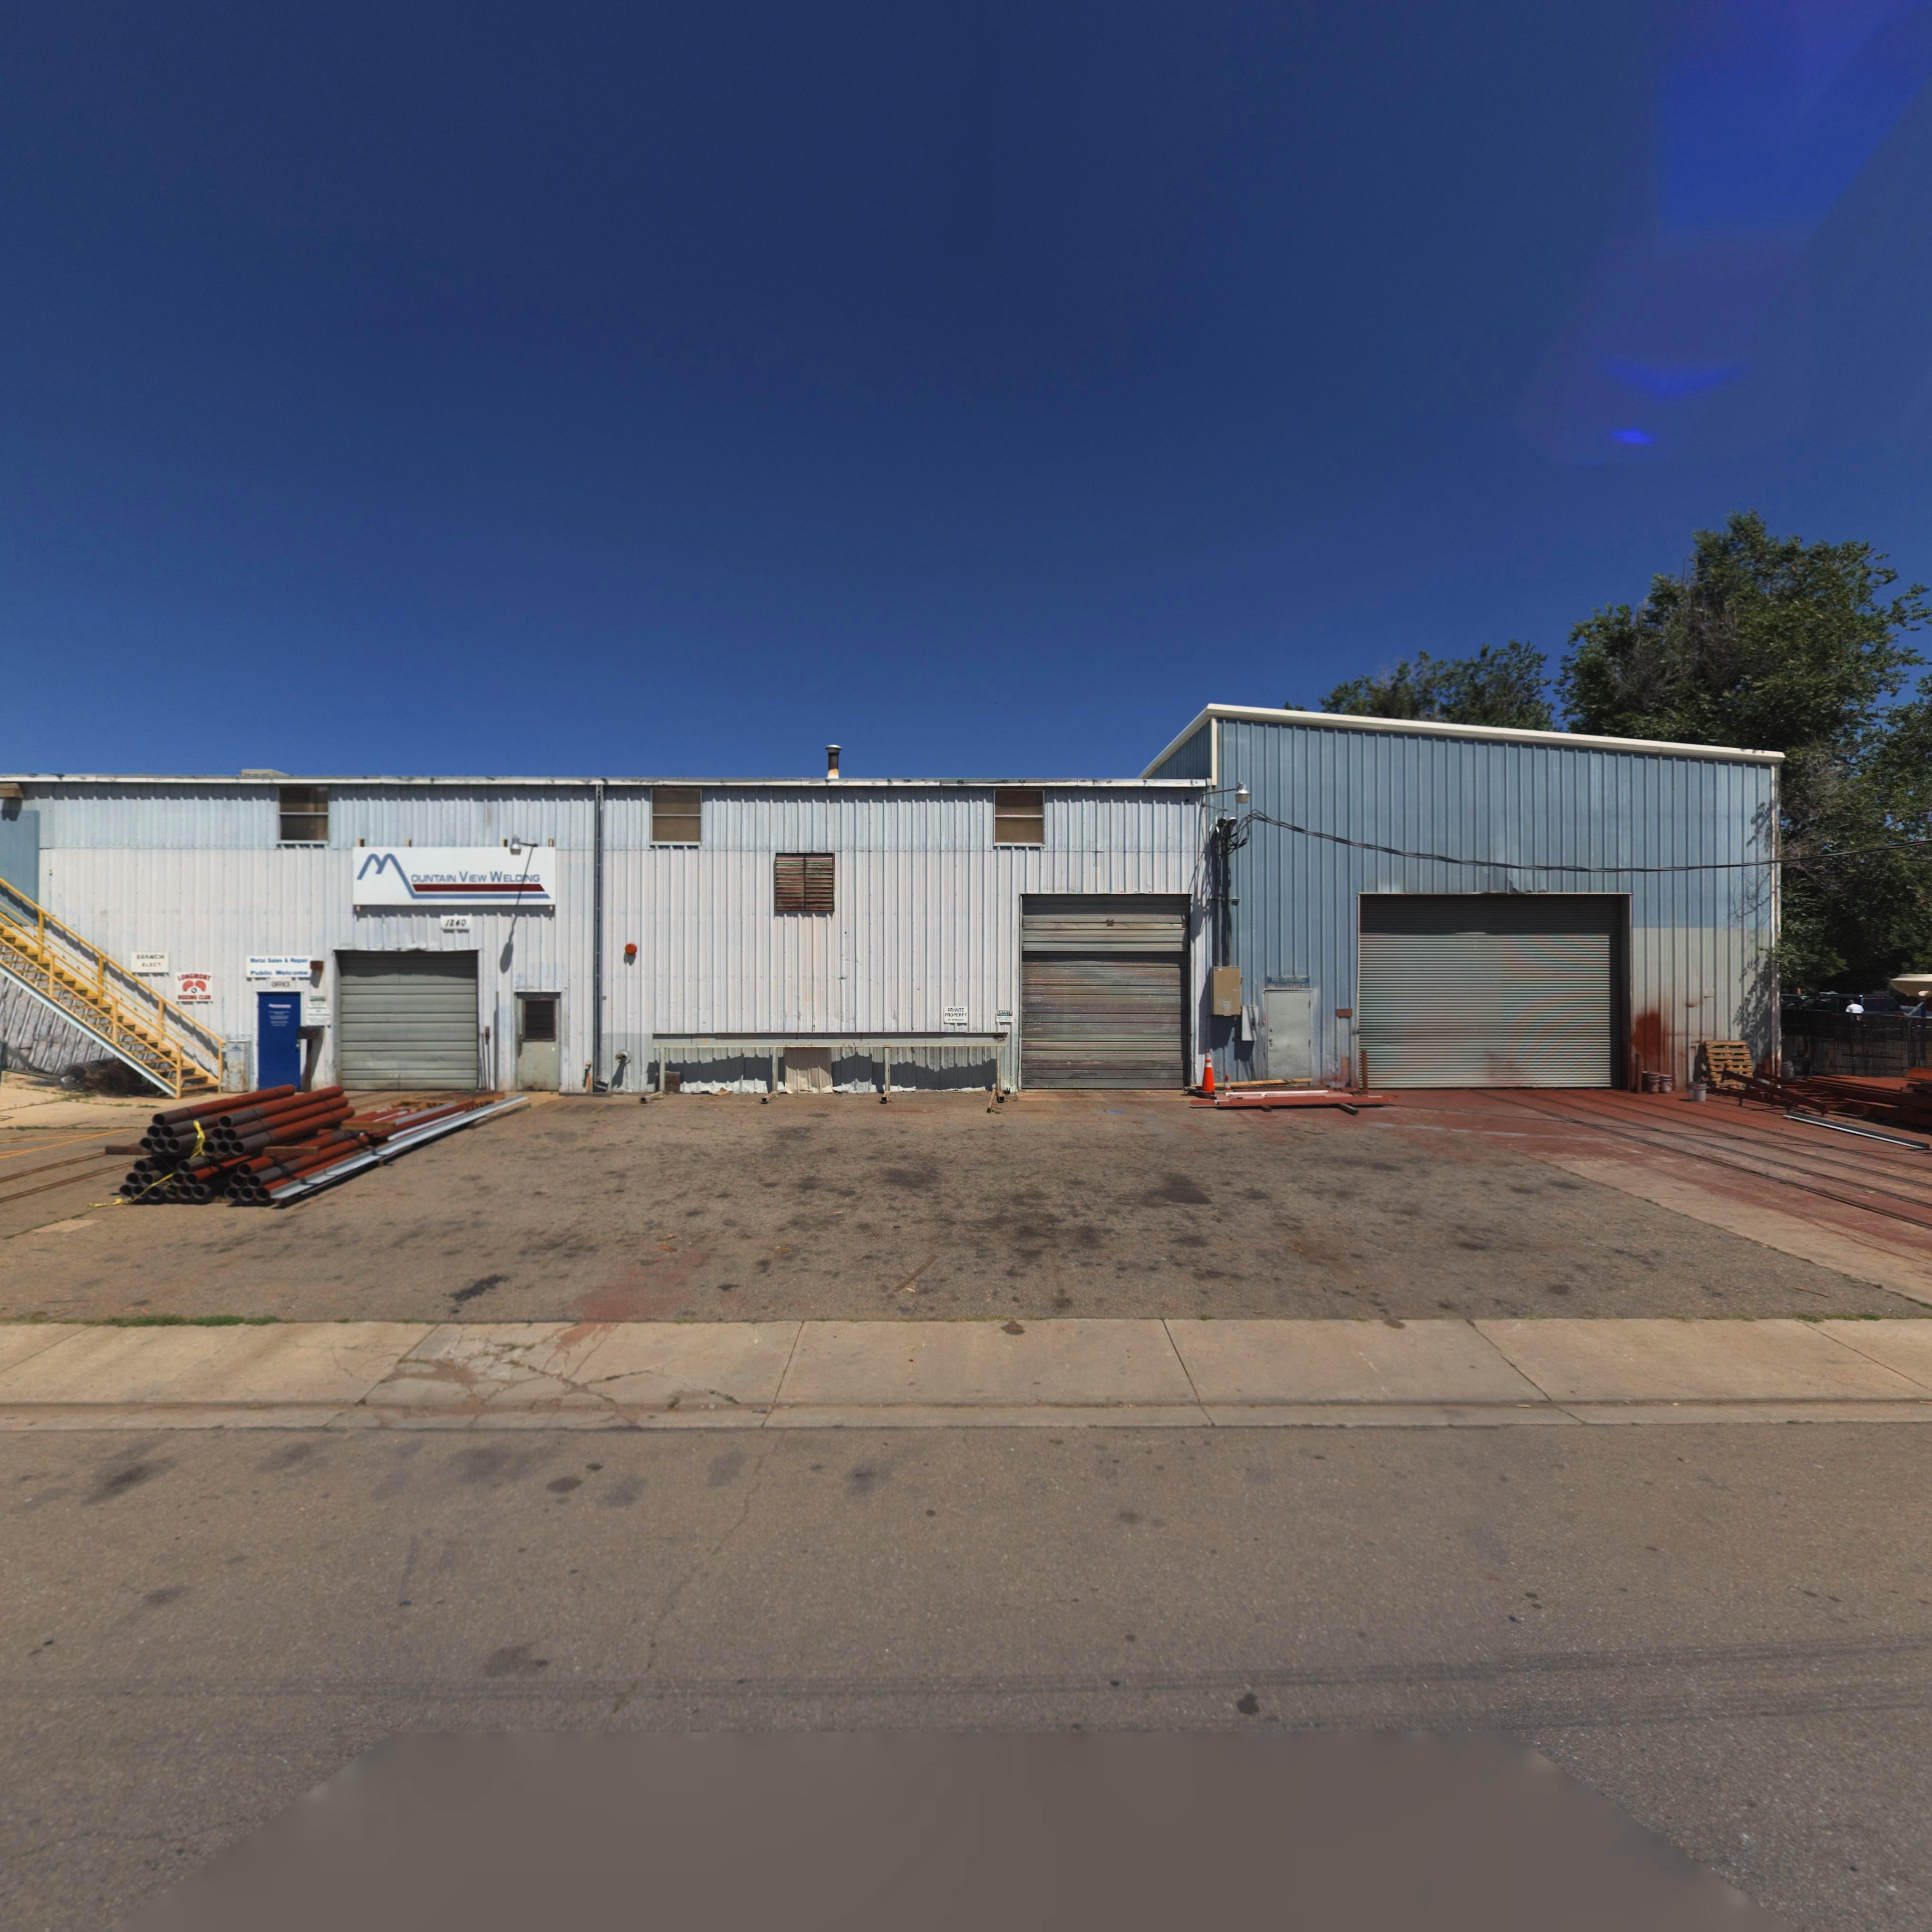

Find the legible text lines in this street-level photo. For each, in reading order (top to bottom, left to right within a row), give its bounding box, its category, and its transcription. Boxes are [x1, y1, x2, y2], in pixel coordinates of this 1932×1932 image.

[410, 870, 540, 883] BusinessName: OUNTAIN VIEW WELDING
[444, 918, 467, 927] StreetNumber: 1240
[176, 972, 212, 981] BusinessName: LO*G*O*T